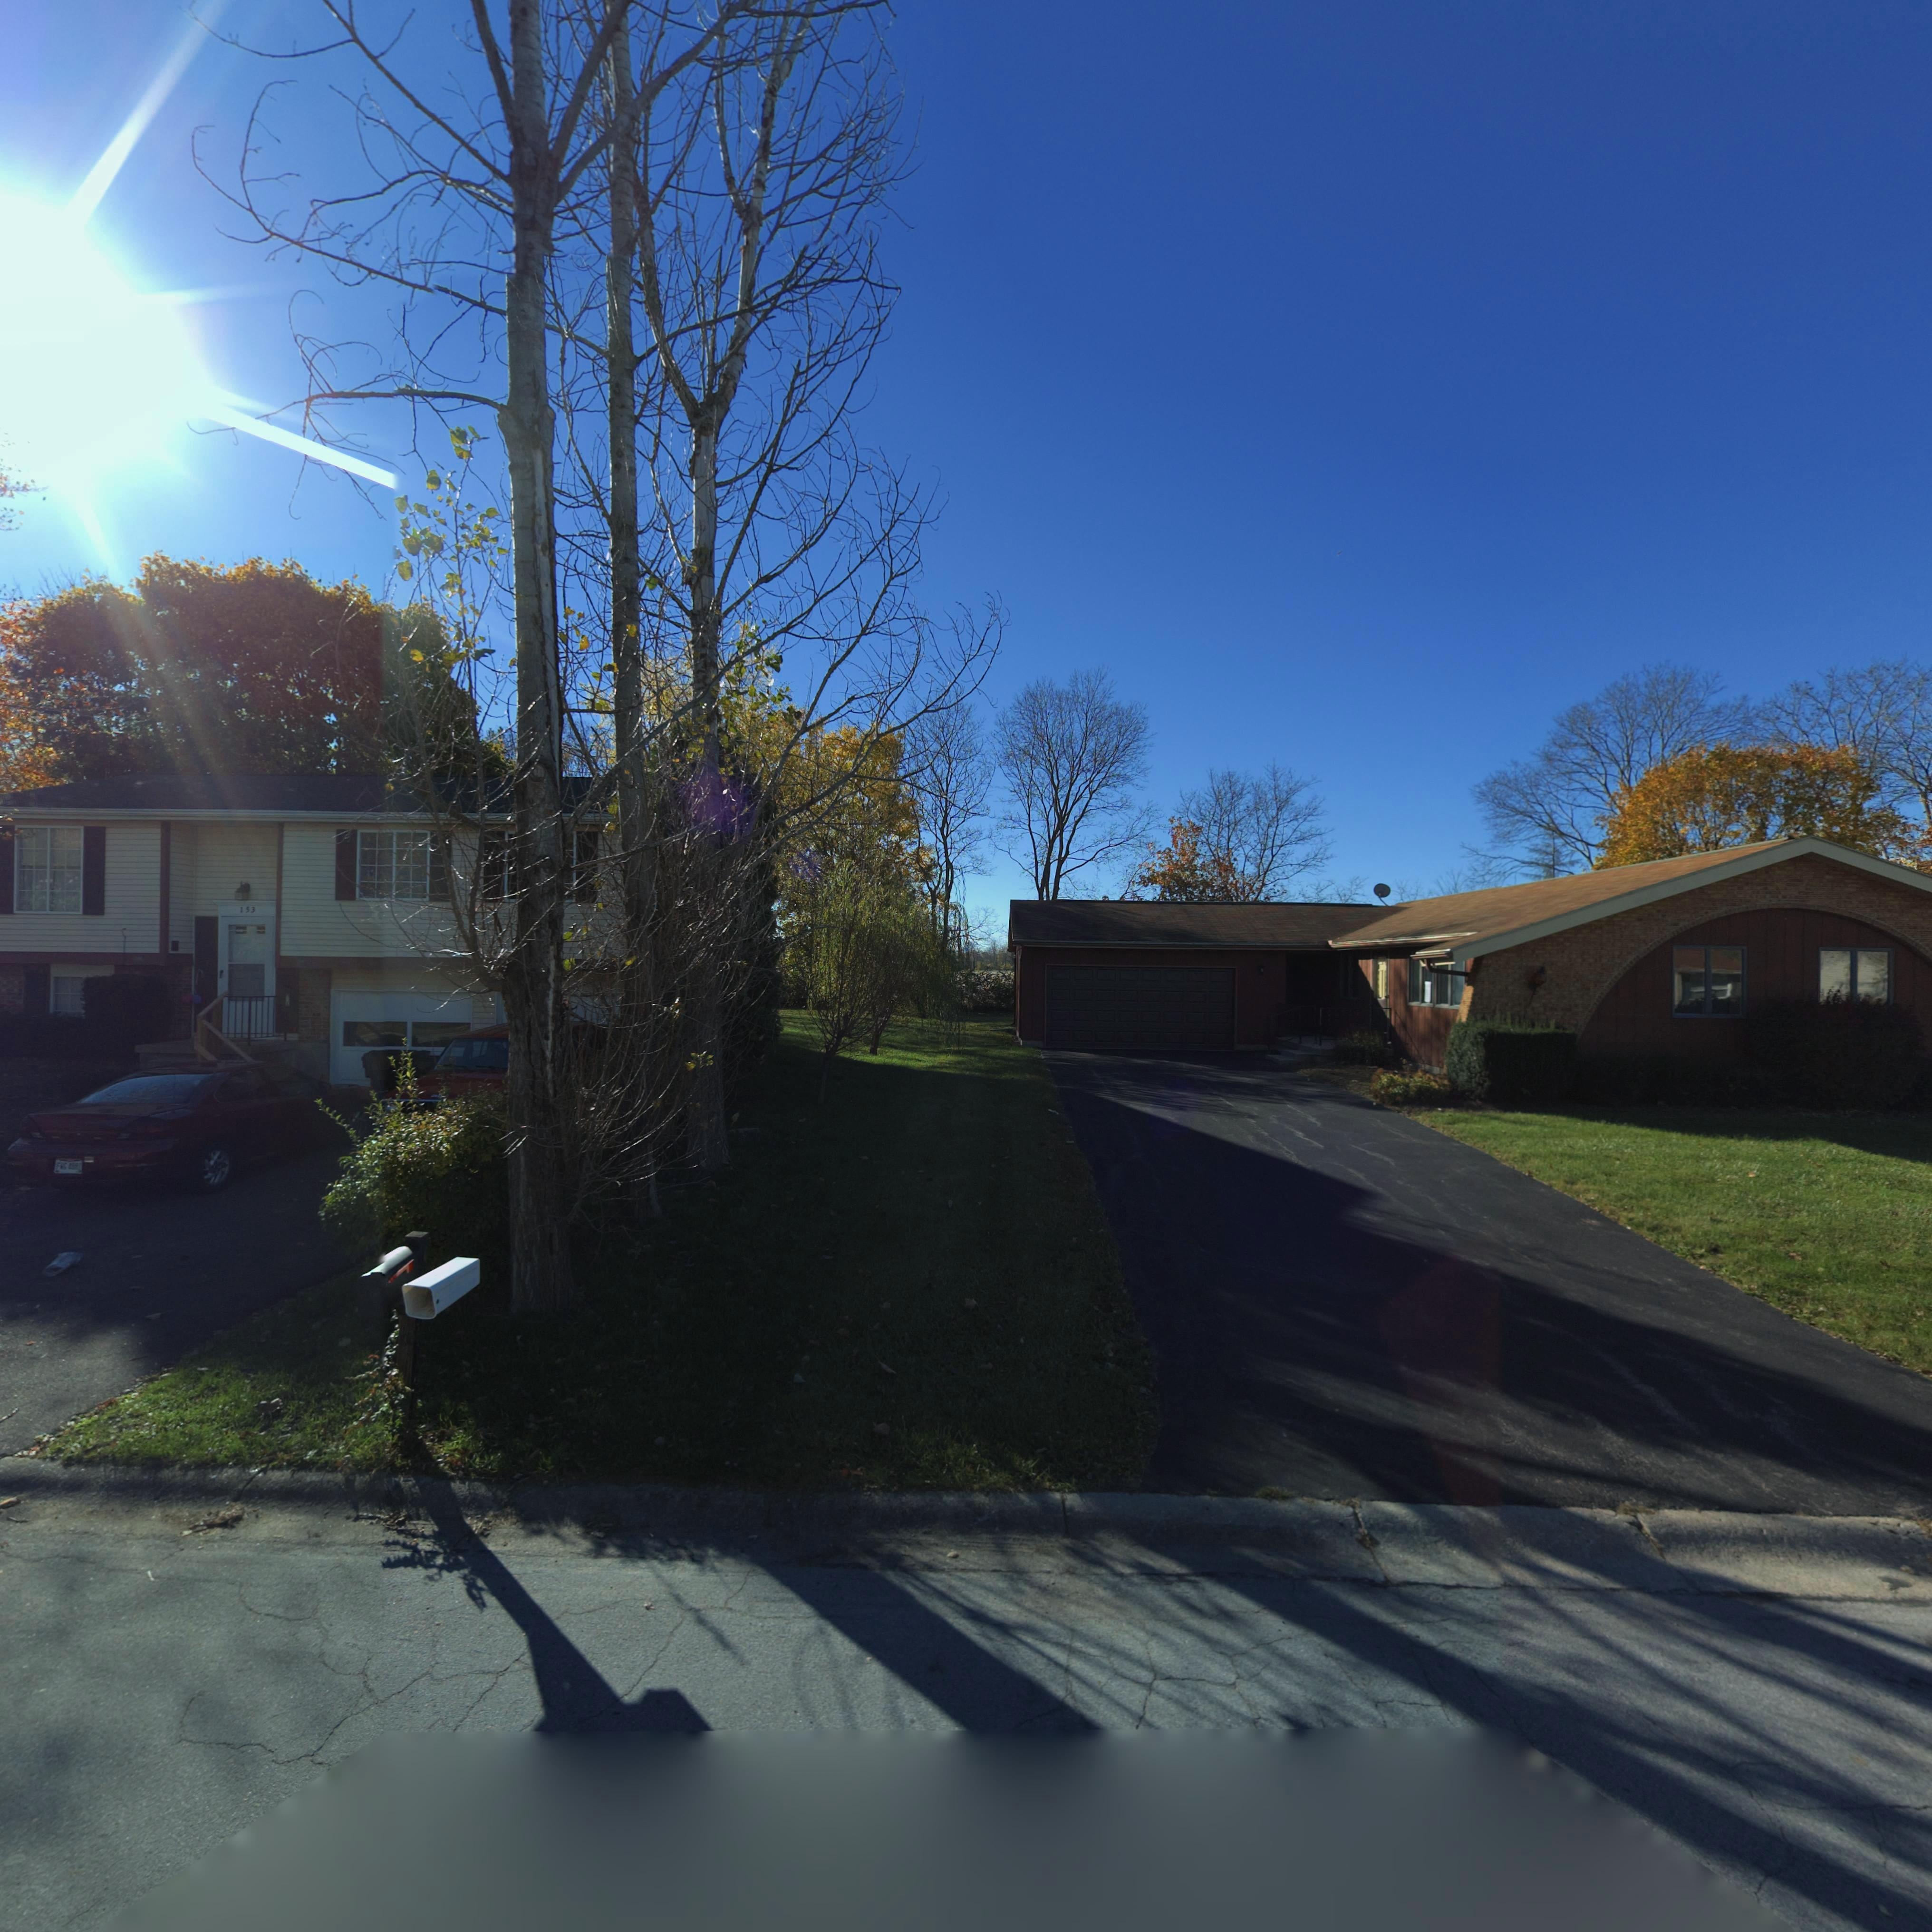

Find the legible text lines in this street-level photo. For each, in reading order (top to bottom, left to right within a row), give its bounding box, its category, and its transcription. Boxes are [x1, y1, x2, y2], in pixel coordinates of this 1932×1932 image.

[239, 906, 256, 914] StreetNumber: 153